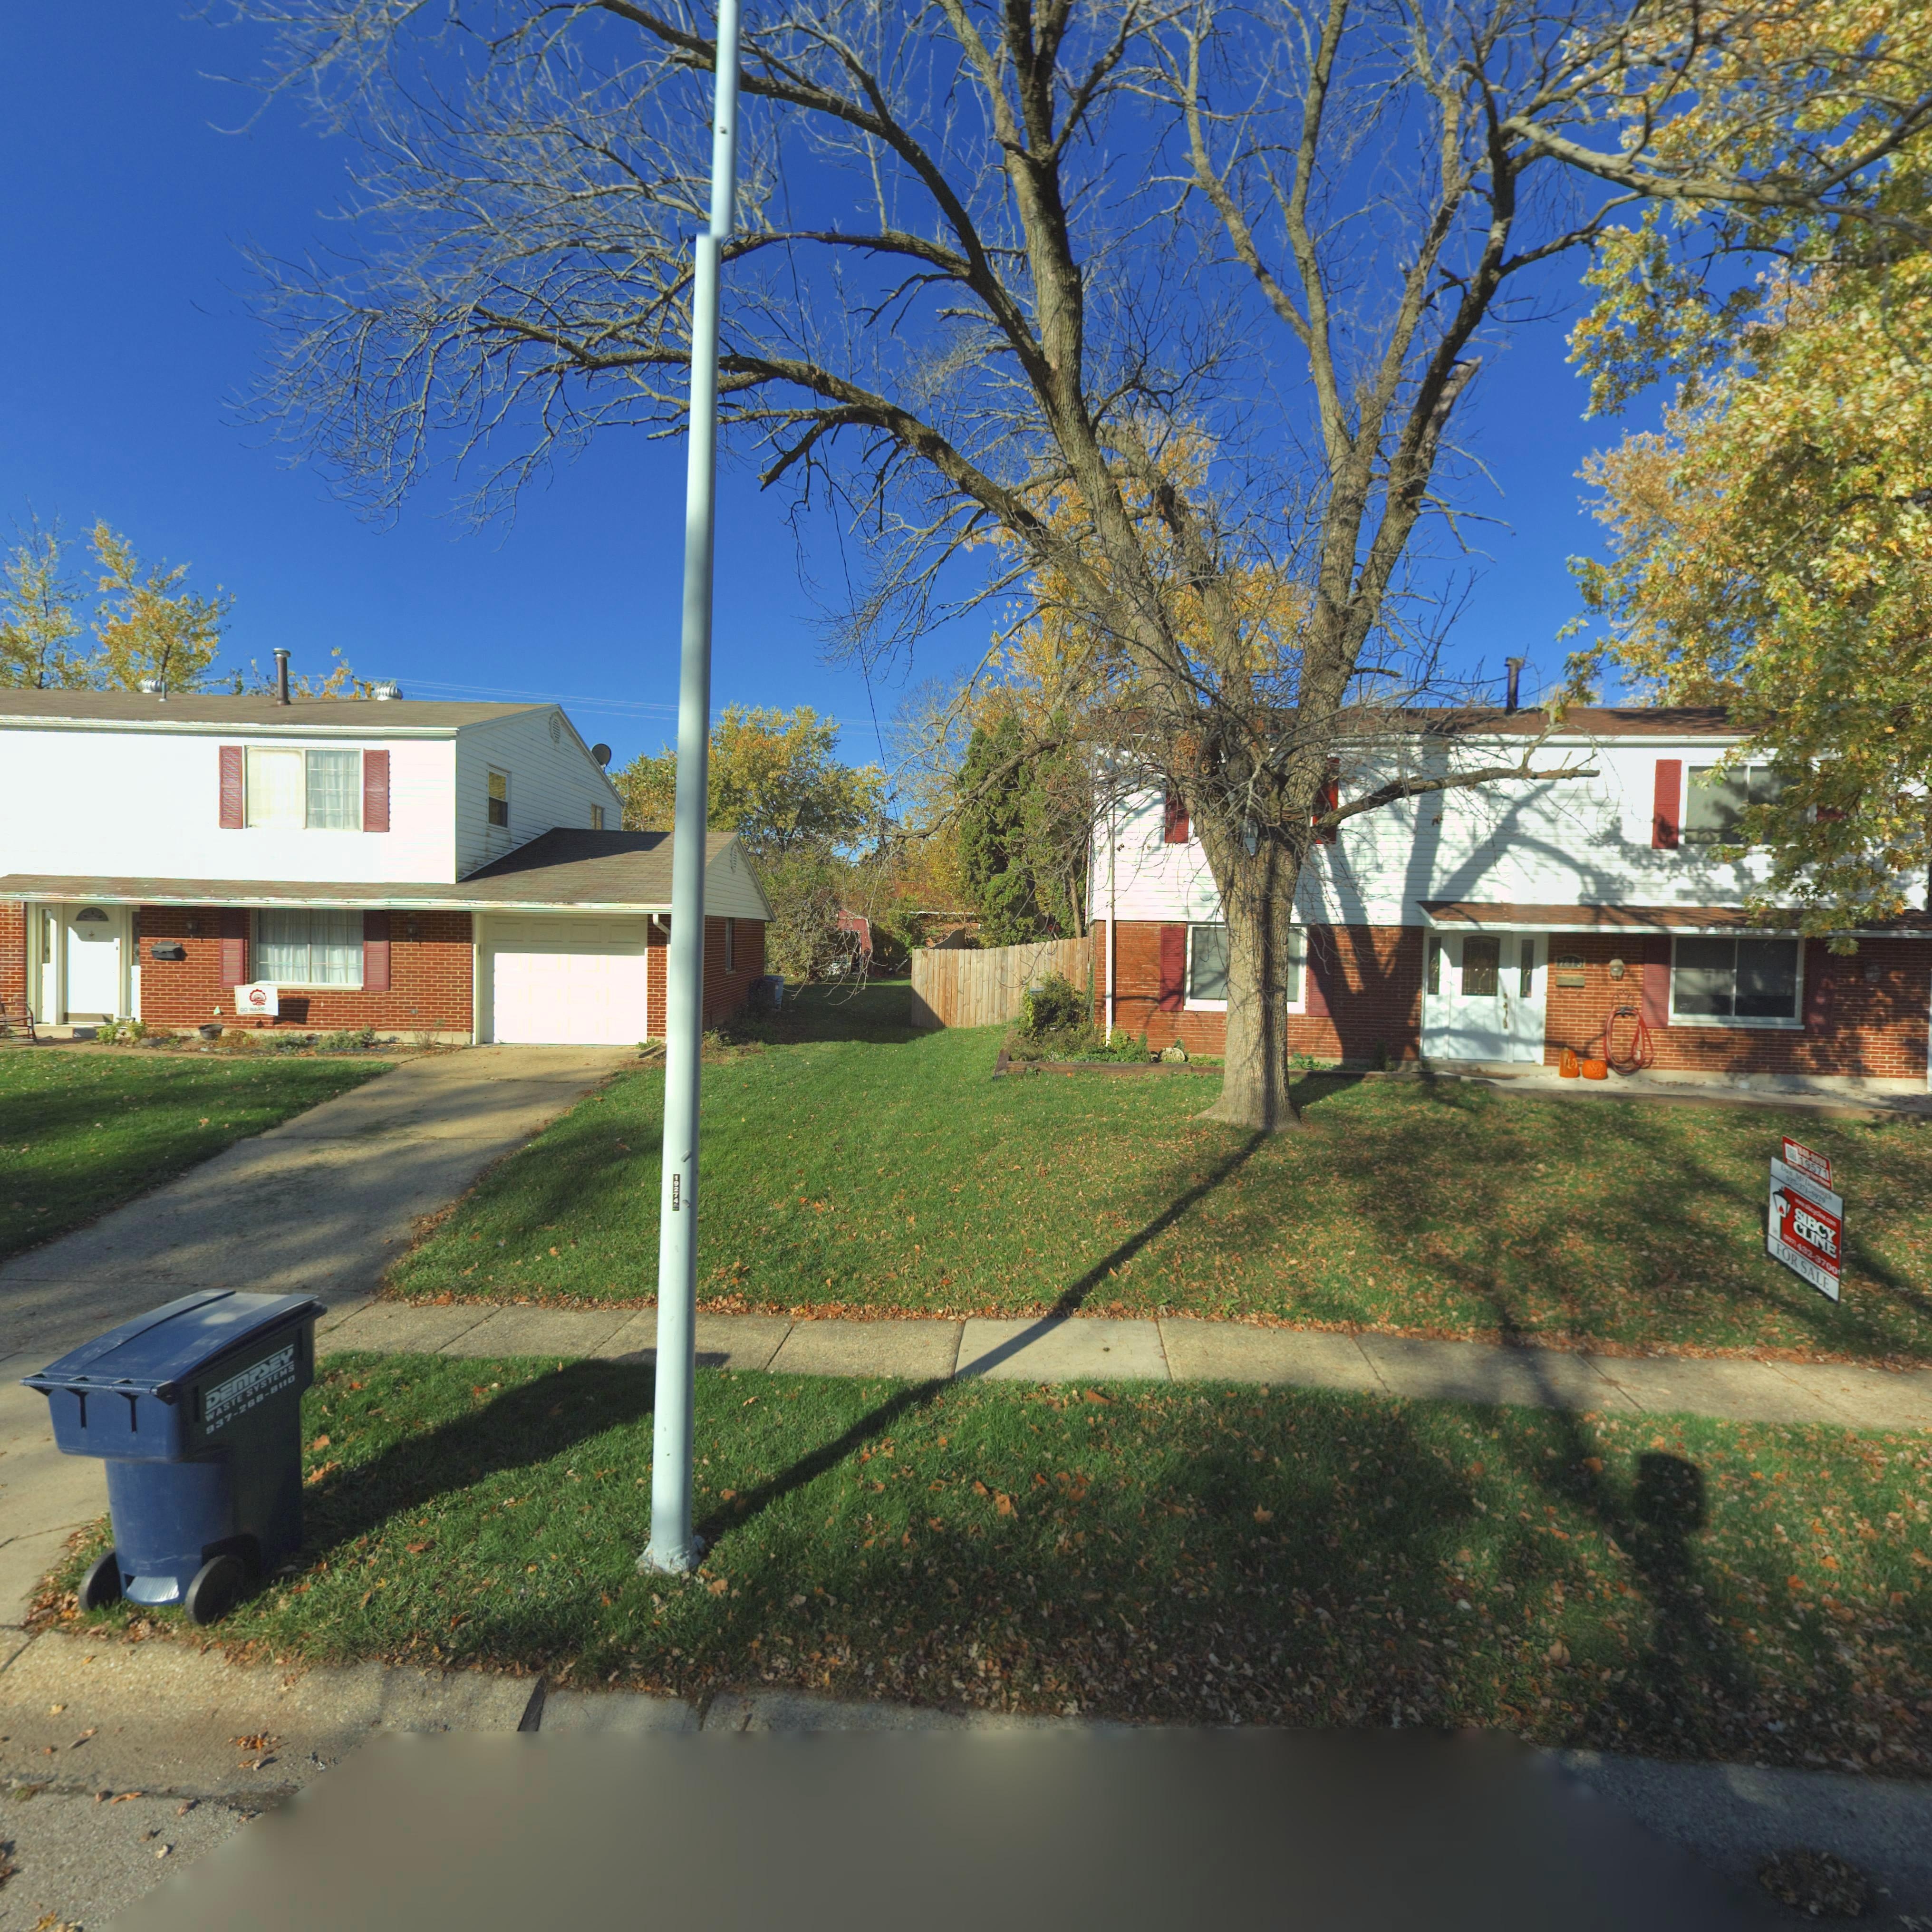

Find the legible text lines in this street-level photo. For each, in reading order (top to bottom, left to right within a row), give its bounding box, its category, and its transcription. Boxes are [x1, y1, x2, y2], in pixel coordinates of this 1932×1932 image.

[1558, 957, 1584, 969] StreetNumber: 7813